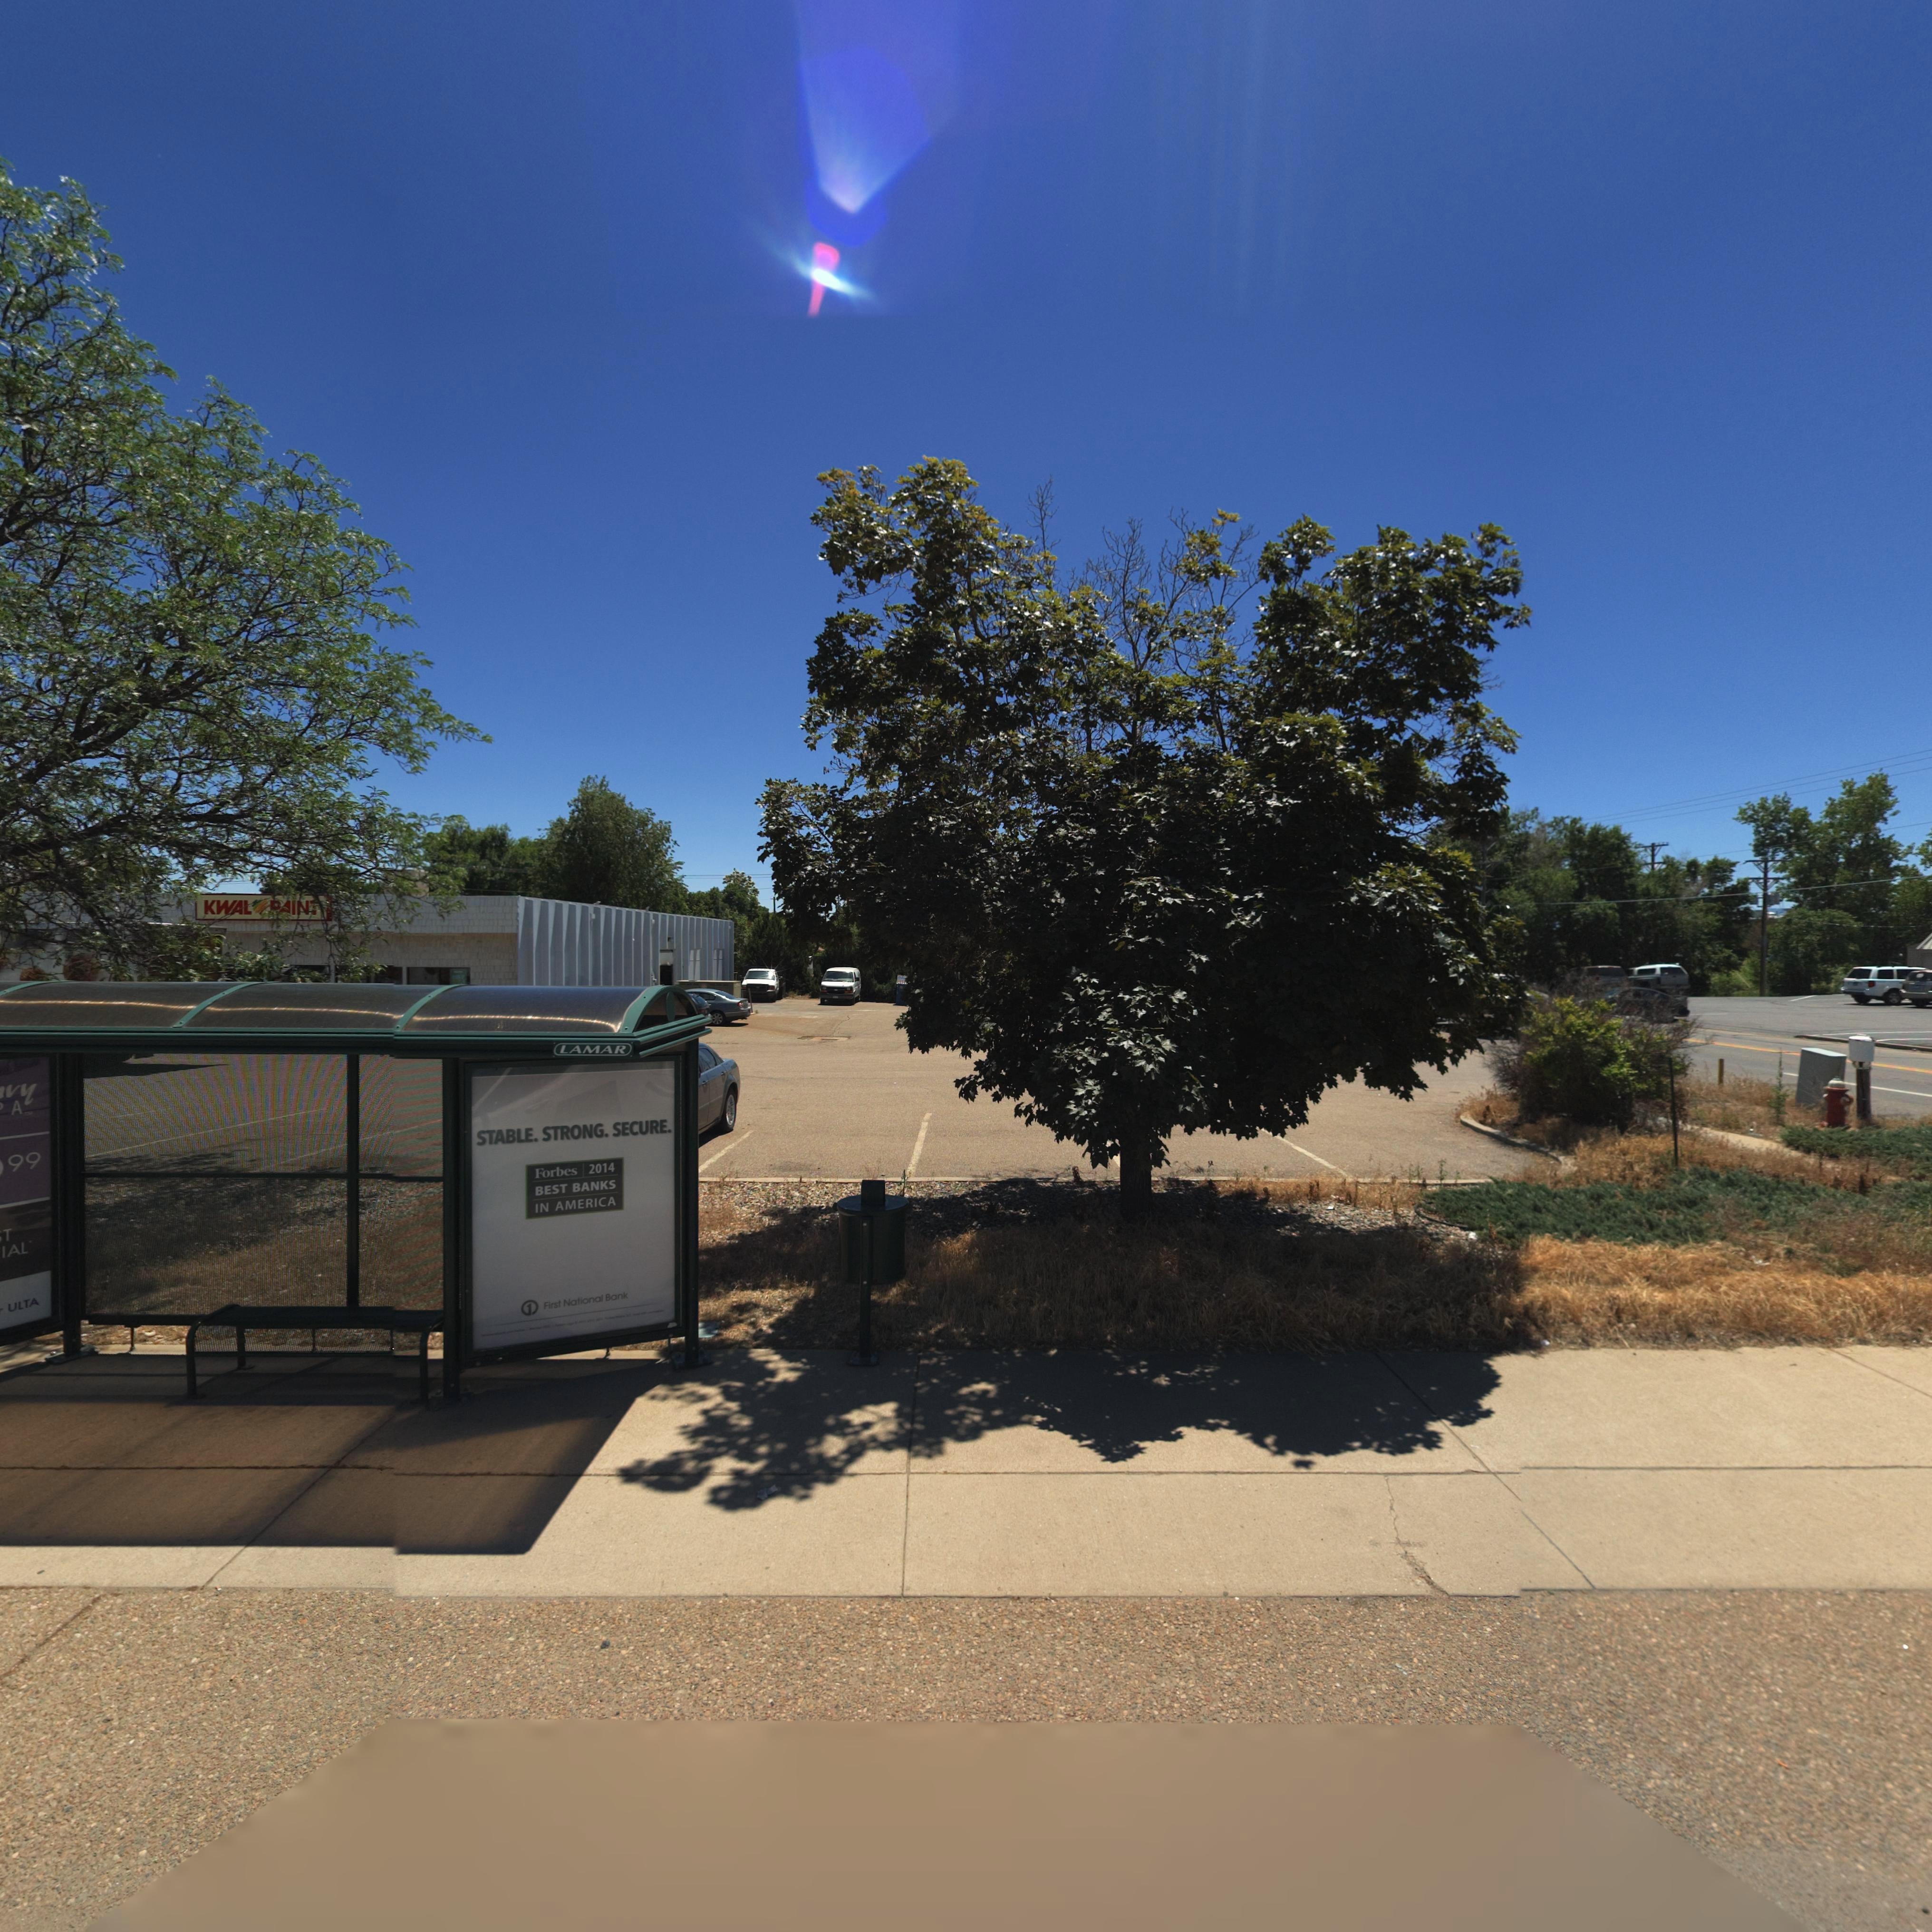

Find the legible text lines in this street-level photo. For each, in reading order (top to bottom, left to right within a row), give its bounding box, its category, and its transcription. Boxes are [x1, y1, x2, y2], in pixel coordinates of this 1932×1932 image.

[203, 899, 321, 916] BusinessName: KWAL **AIN*